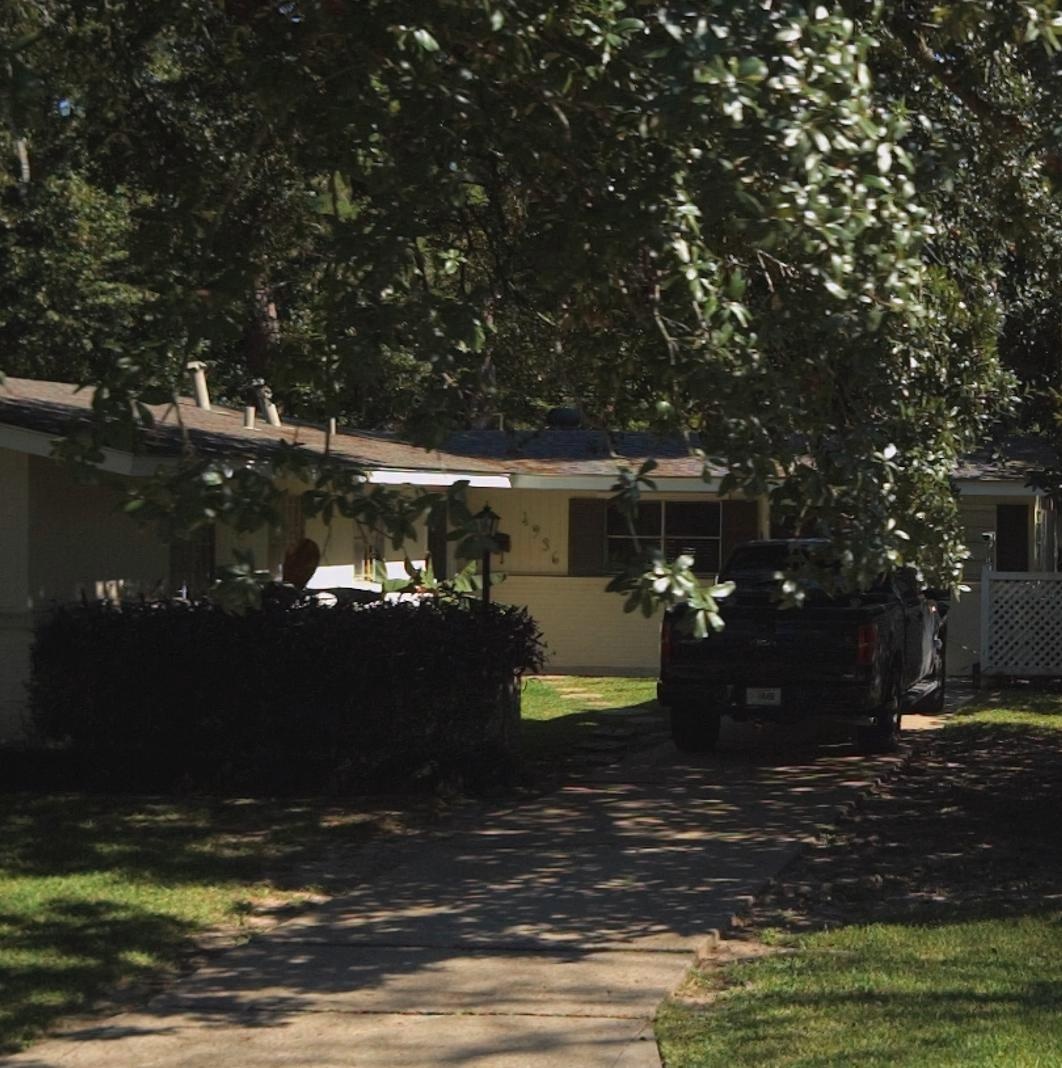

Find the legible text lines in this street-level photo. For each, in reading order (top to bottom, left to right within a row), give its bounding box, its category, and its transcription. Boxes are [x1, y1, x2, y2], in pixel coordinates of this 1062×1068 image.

[521, 510, 560, 565] StreetNumber: 4936